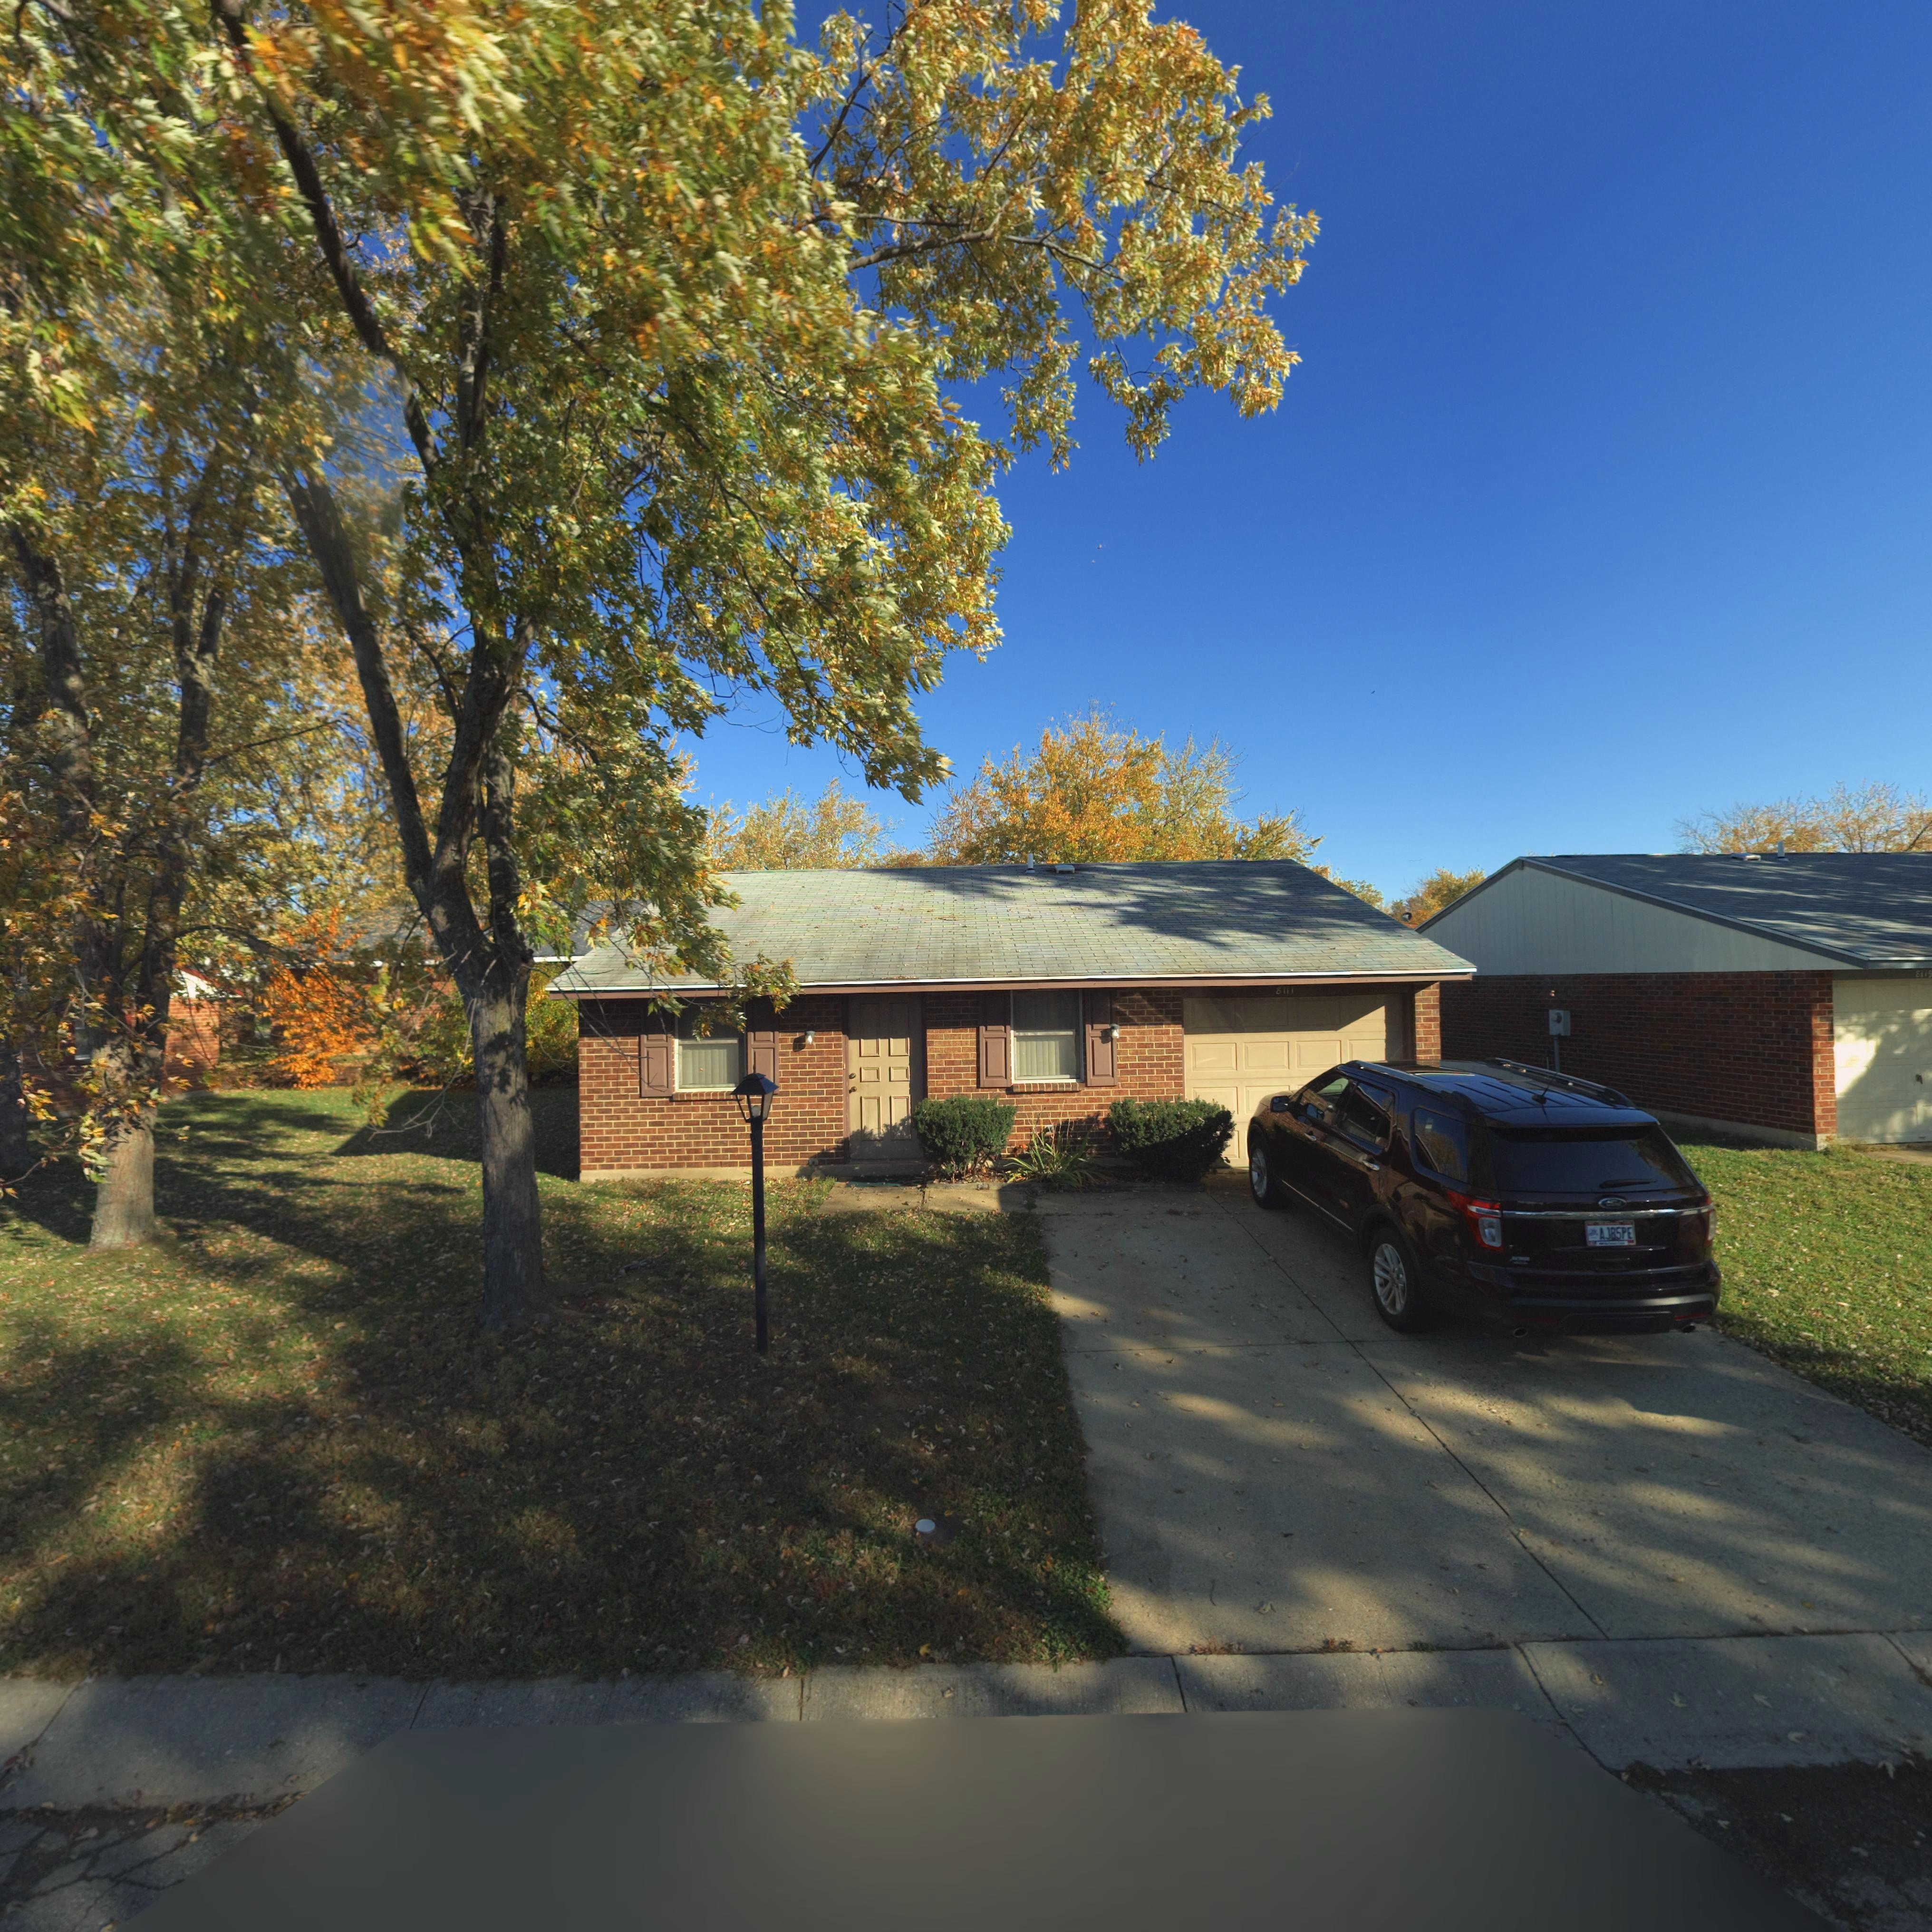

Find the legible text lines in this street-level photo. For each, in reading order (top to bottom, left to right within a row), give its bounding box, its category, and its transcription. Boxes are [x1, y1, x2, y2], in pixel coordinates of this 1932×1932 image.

[1275, 985, 1295, 996] StreetNumber: 8111